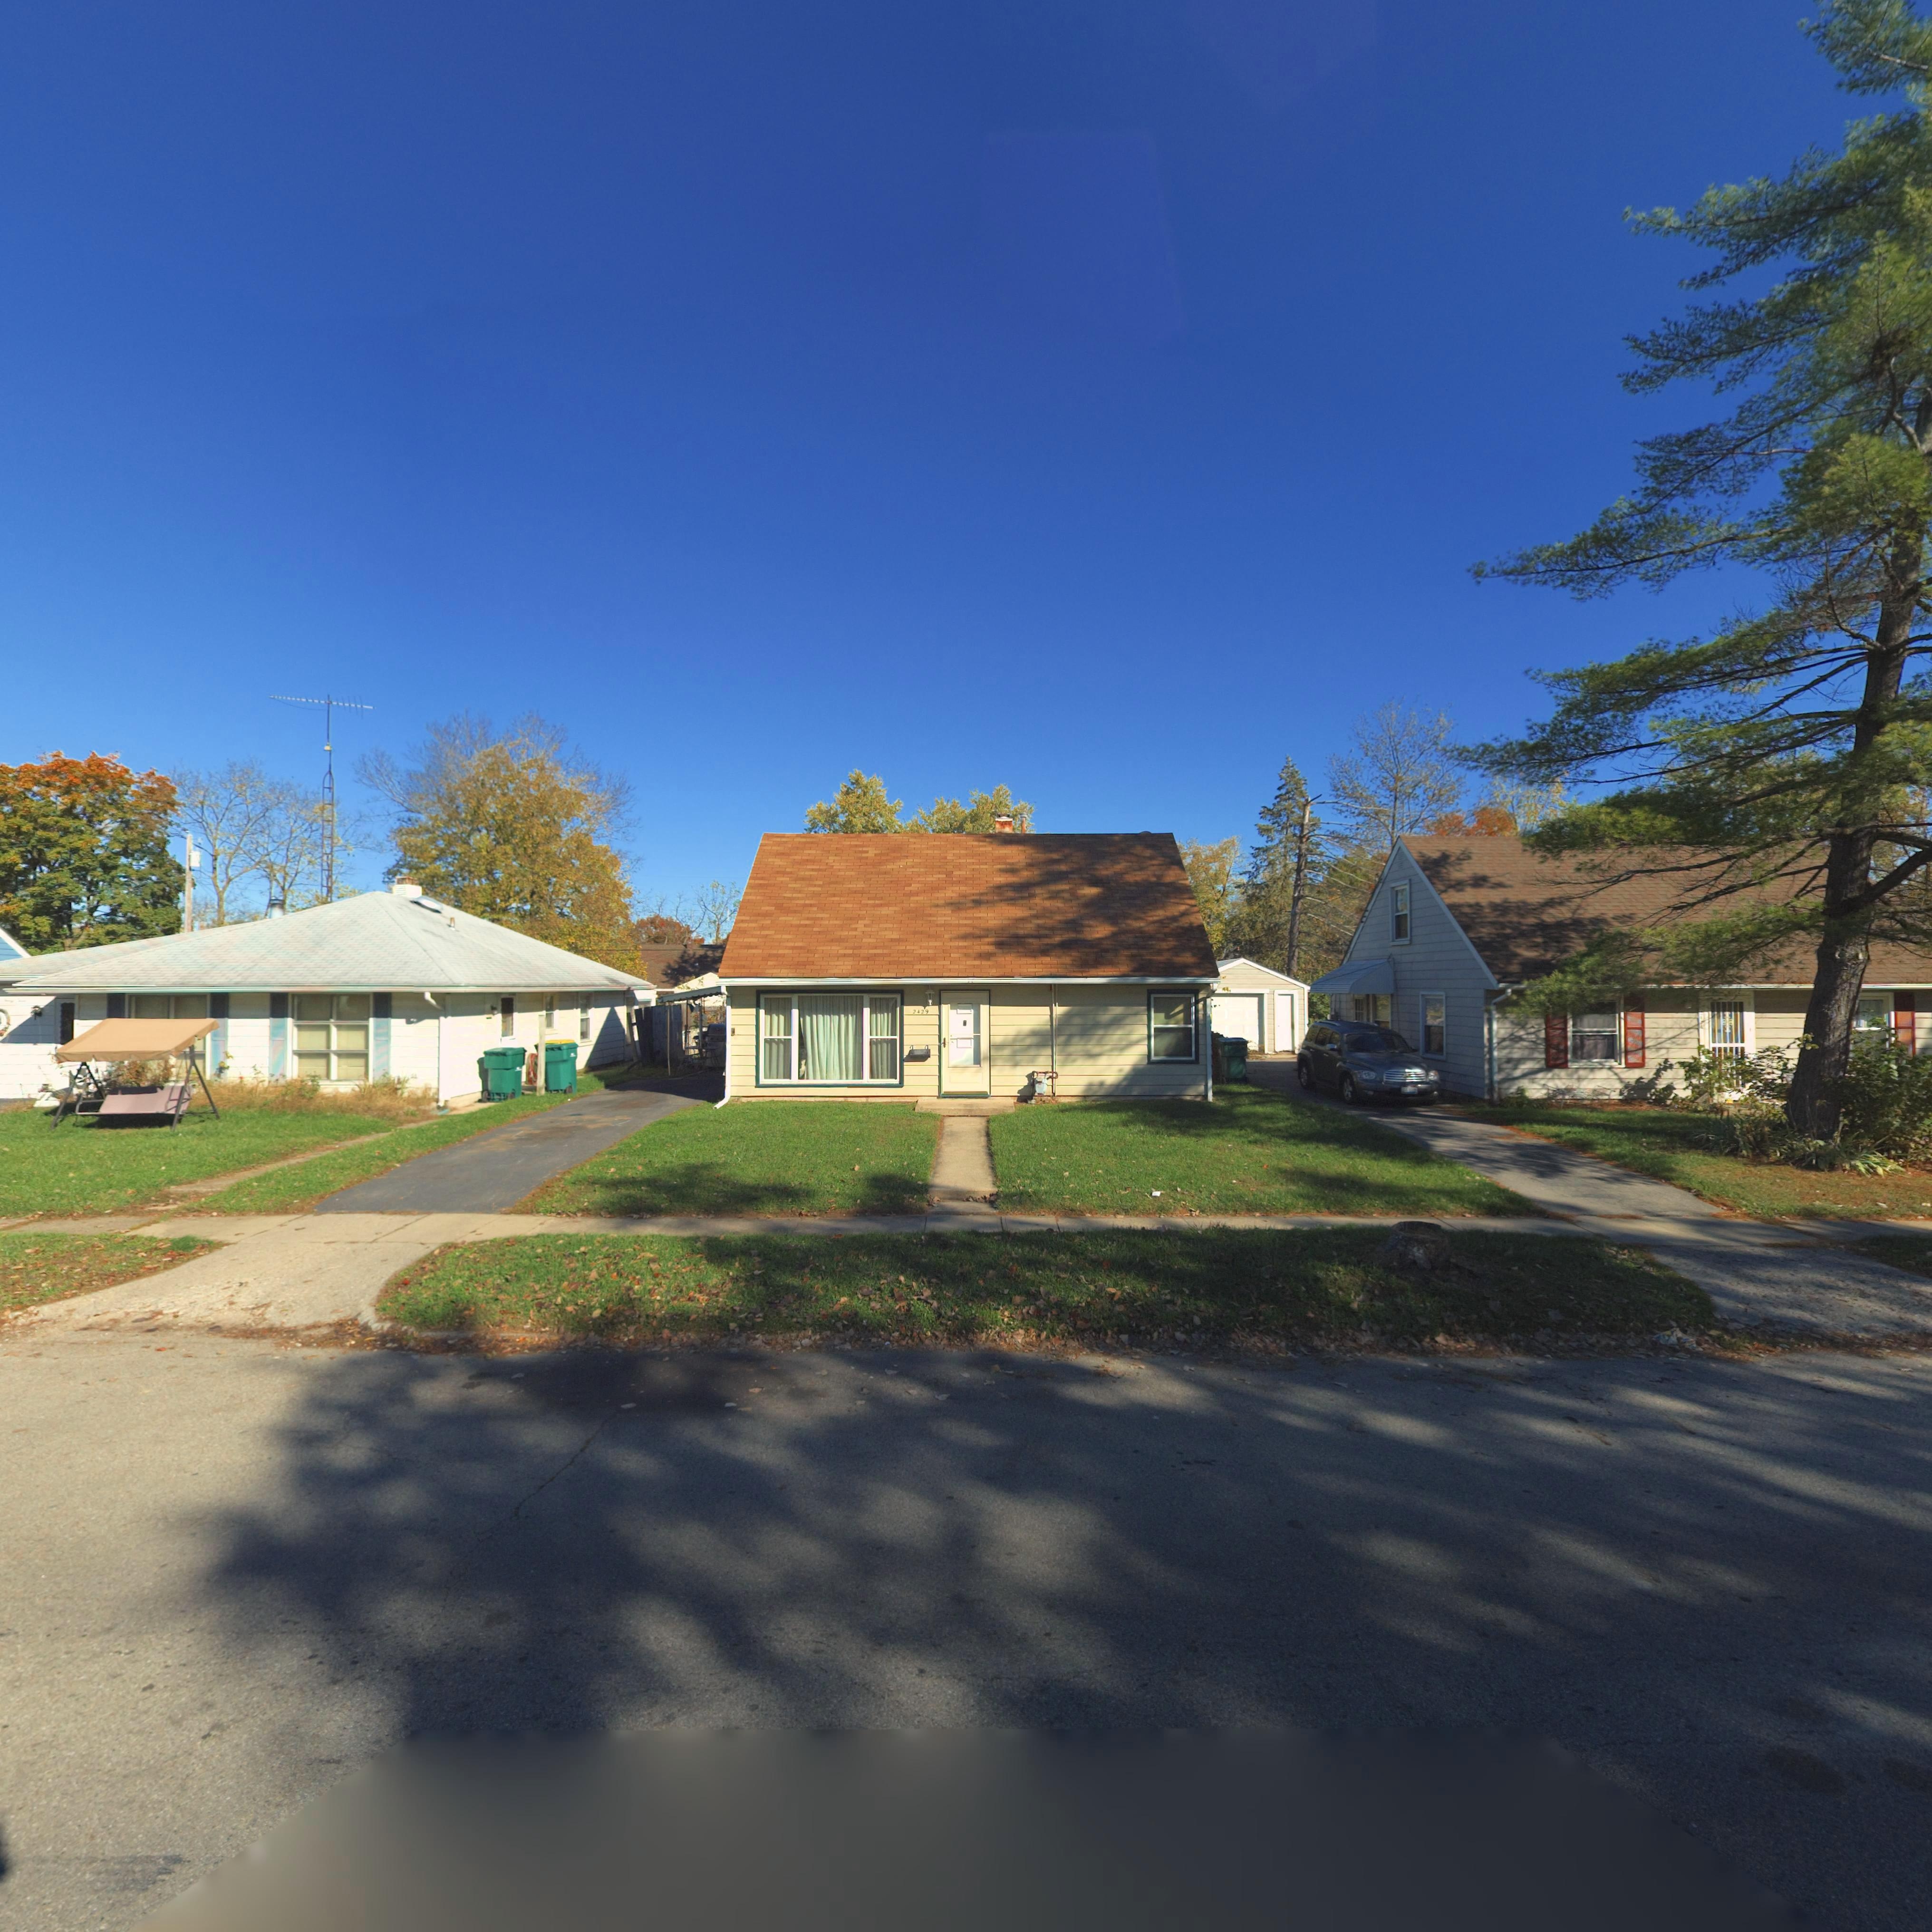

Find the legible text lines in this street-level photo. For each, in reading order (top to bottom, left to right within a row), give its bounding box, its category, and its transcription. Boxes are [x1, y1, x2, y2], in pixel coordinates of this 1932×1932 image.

[912, 1008, 929, 1015] StreetNumber: 2429